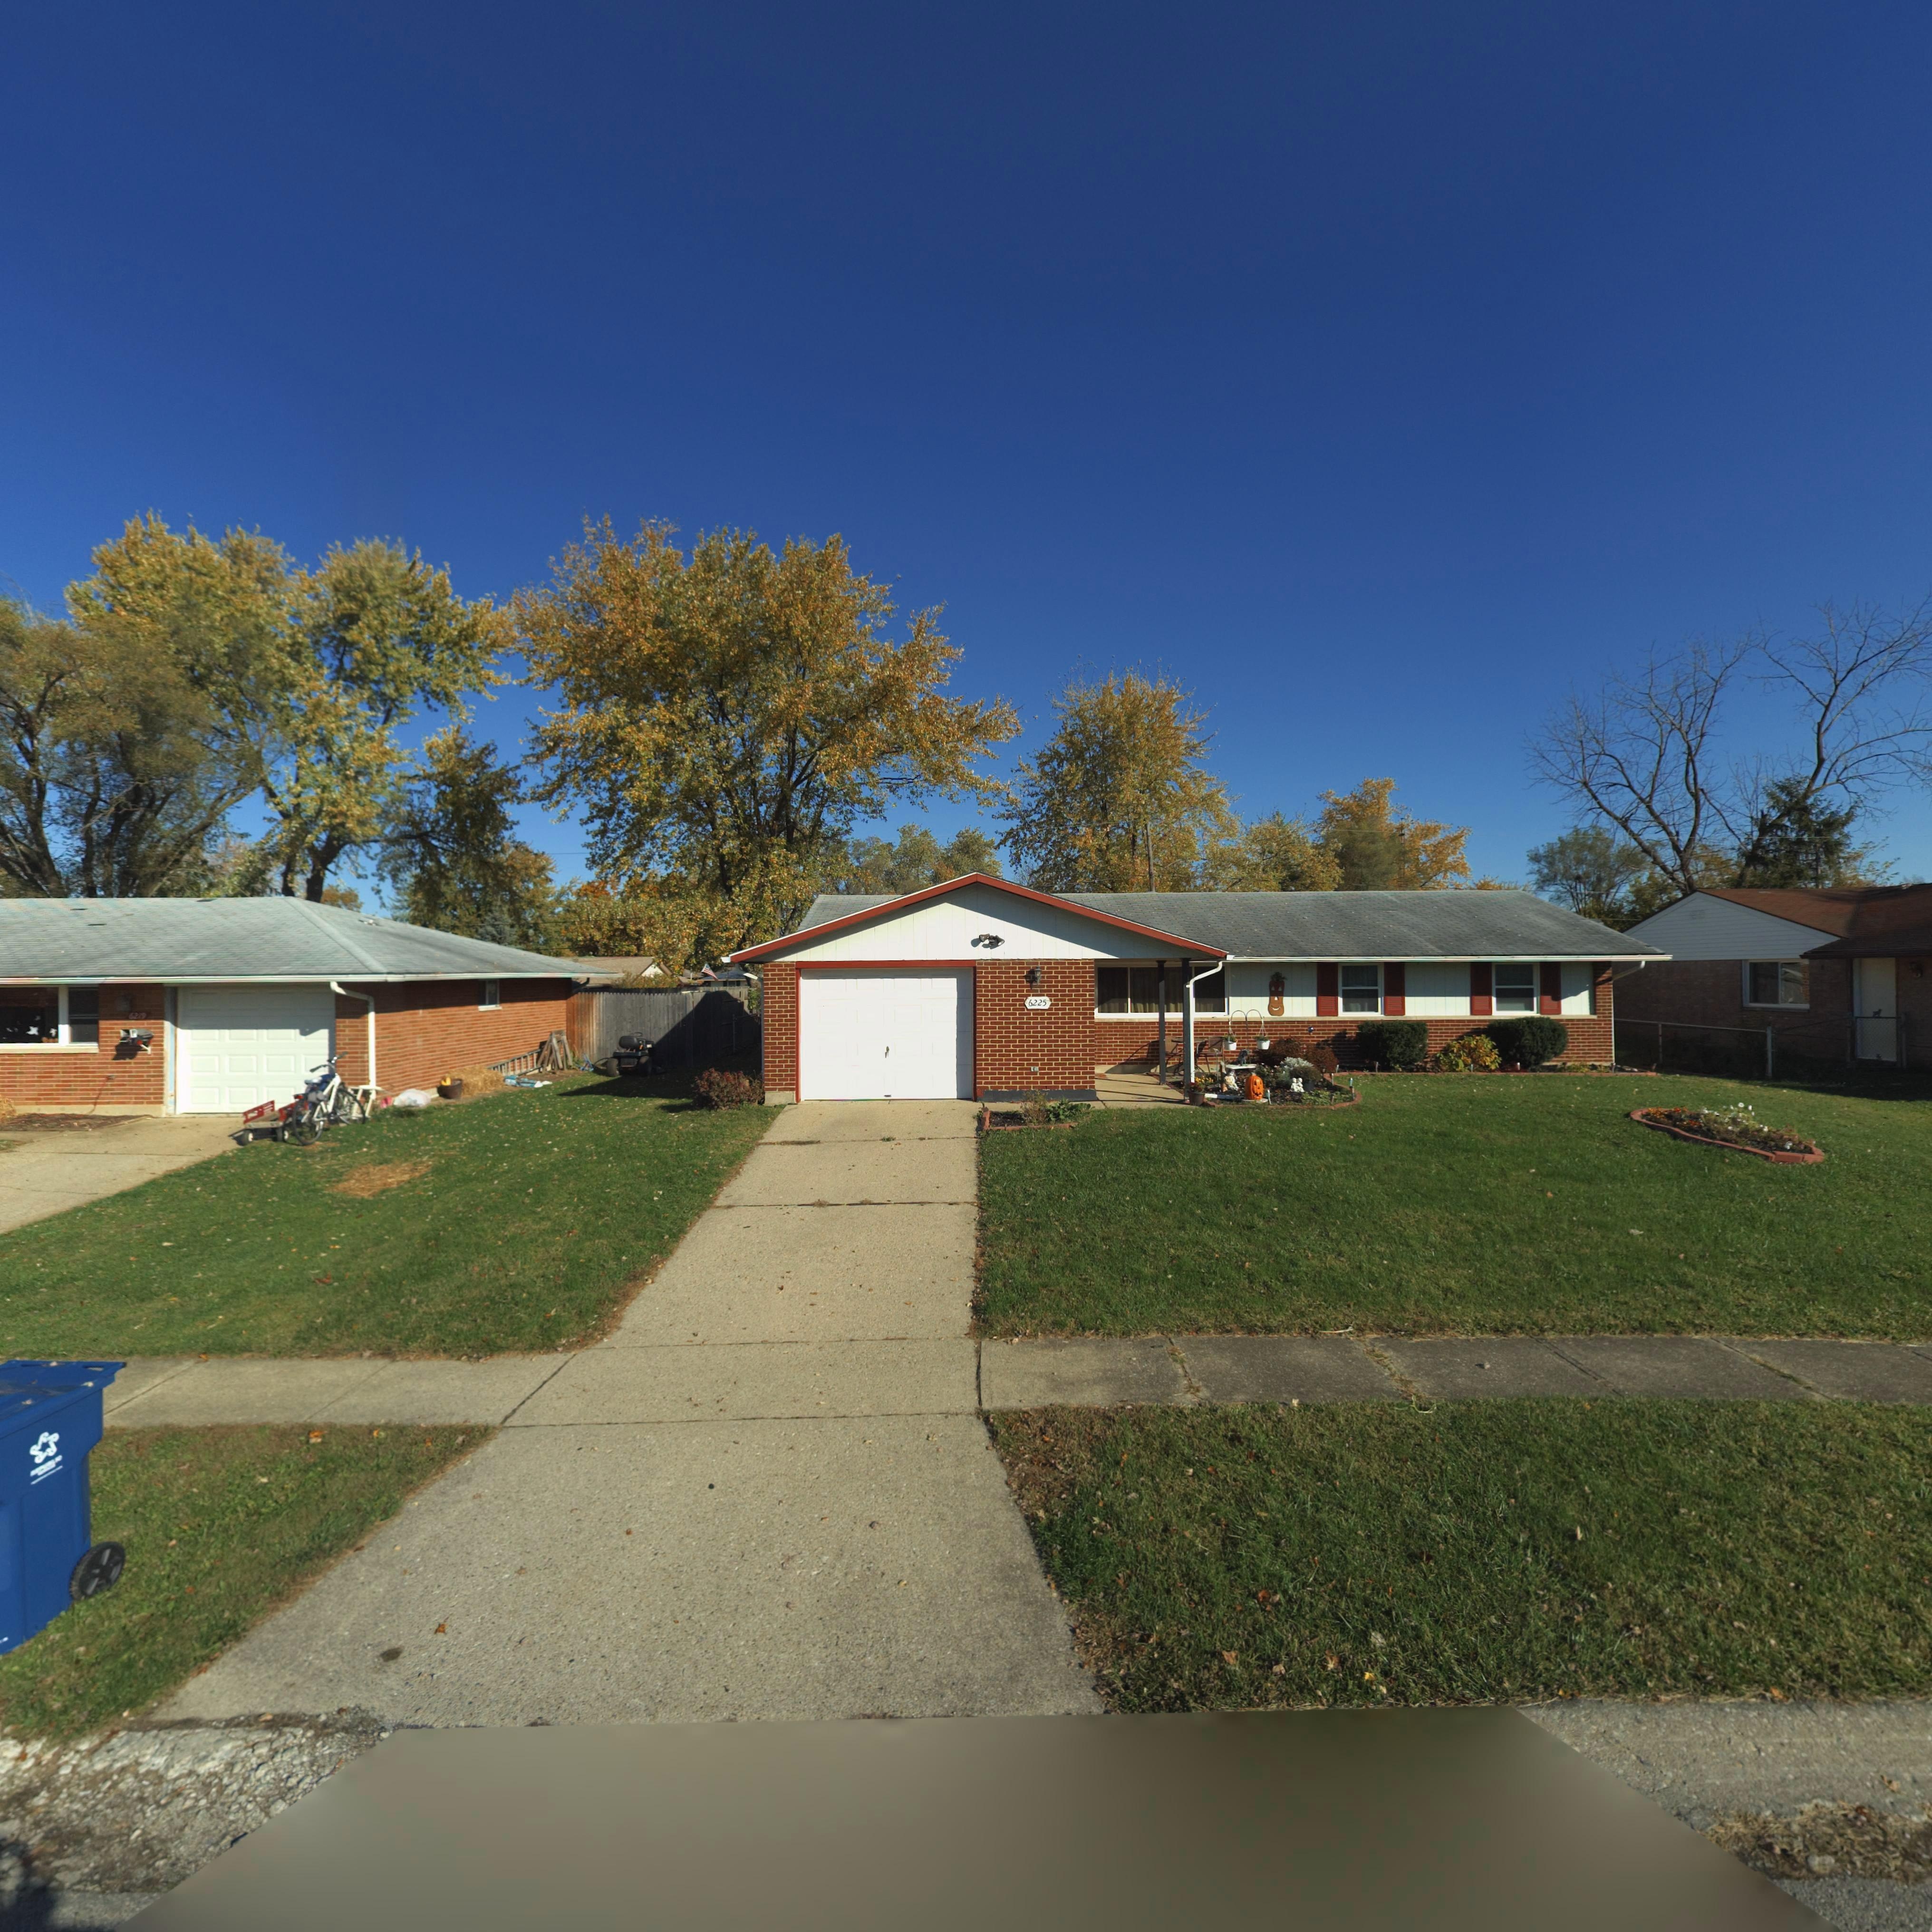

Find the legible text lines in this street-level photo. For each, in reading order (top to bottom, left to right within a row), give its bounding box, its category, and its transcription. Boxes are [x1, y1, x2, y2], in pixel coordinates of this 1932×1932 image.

[1028, 998, 1047, 1007] StreetNumber: 6225
[128, 1012, 147, 1020] StreetNumber: 6219